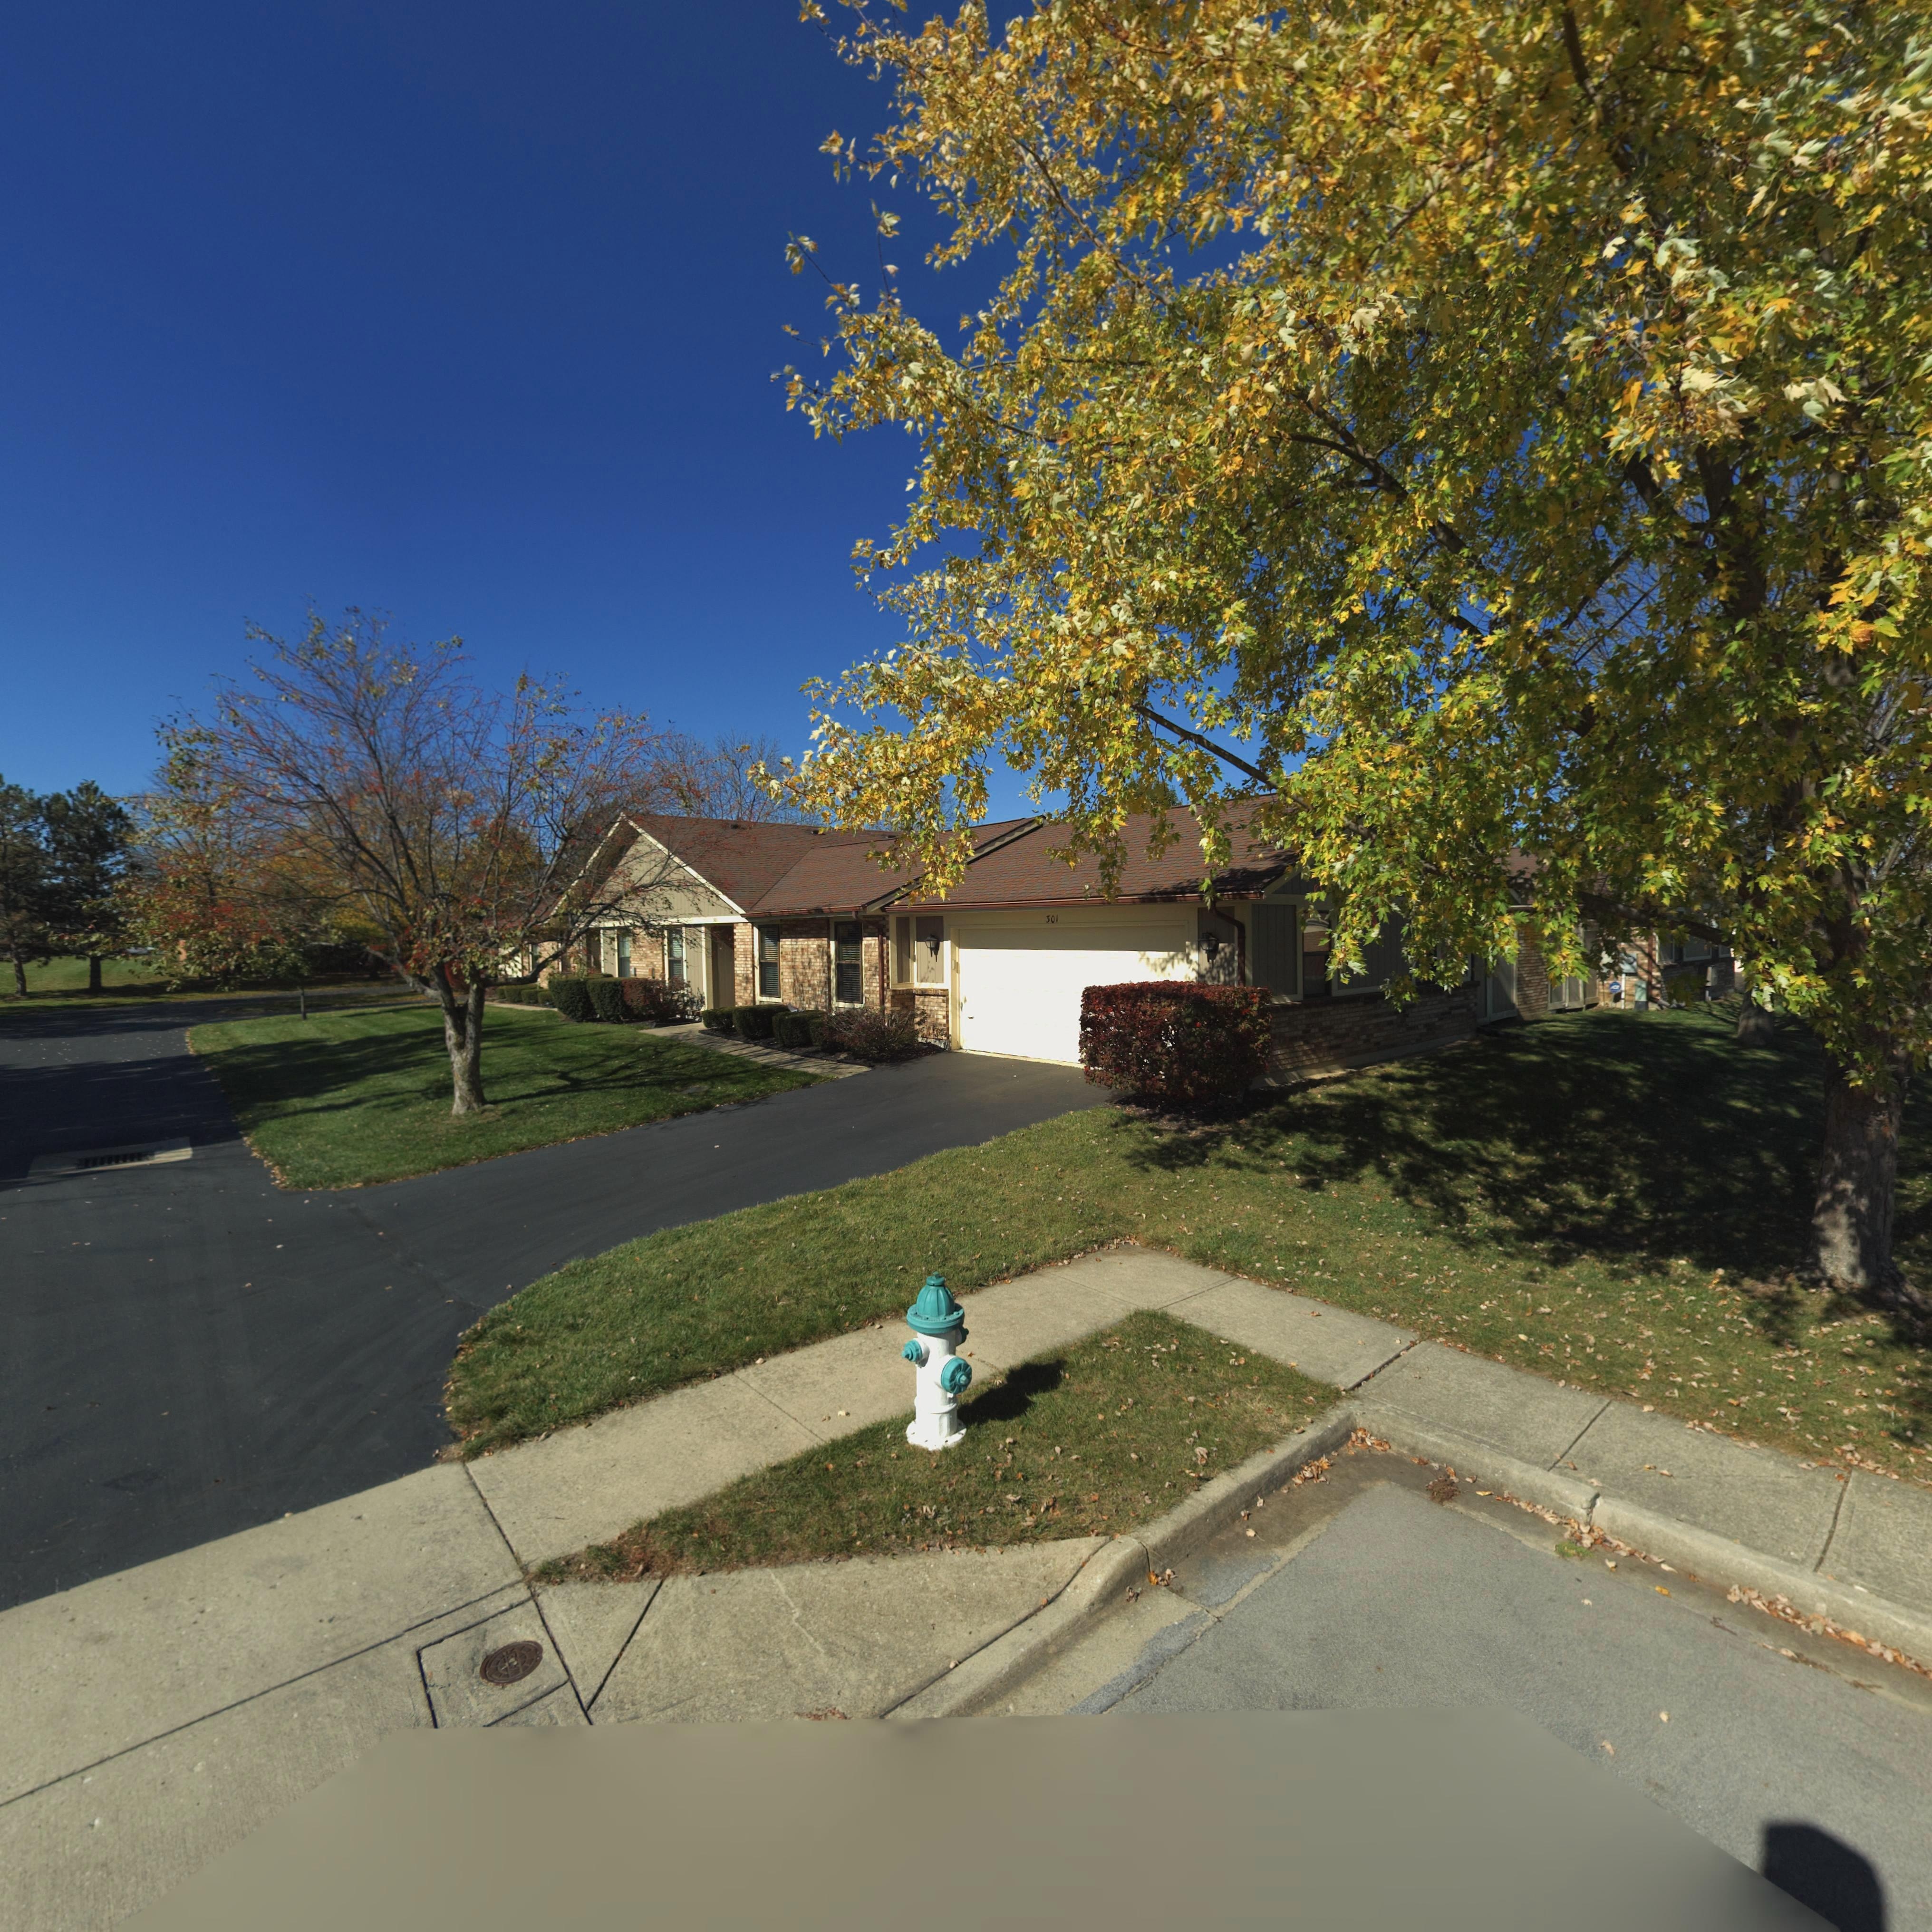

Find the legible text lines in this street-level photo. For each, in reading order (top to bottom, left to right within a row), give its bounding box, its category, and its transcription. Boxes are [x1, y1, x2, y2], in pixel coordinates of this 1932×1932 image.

[1044, 914, 1059, 924] StreetNumber: 301